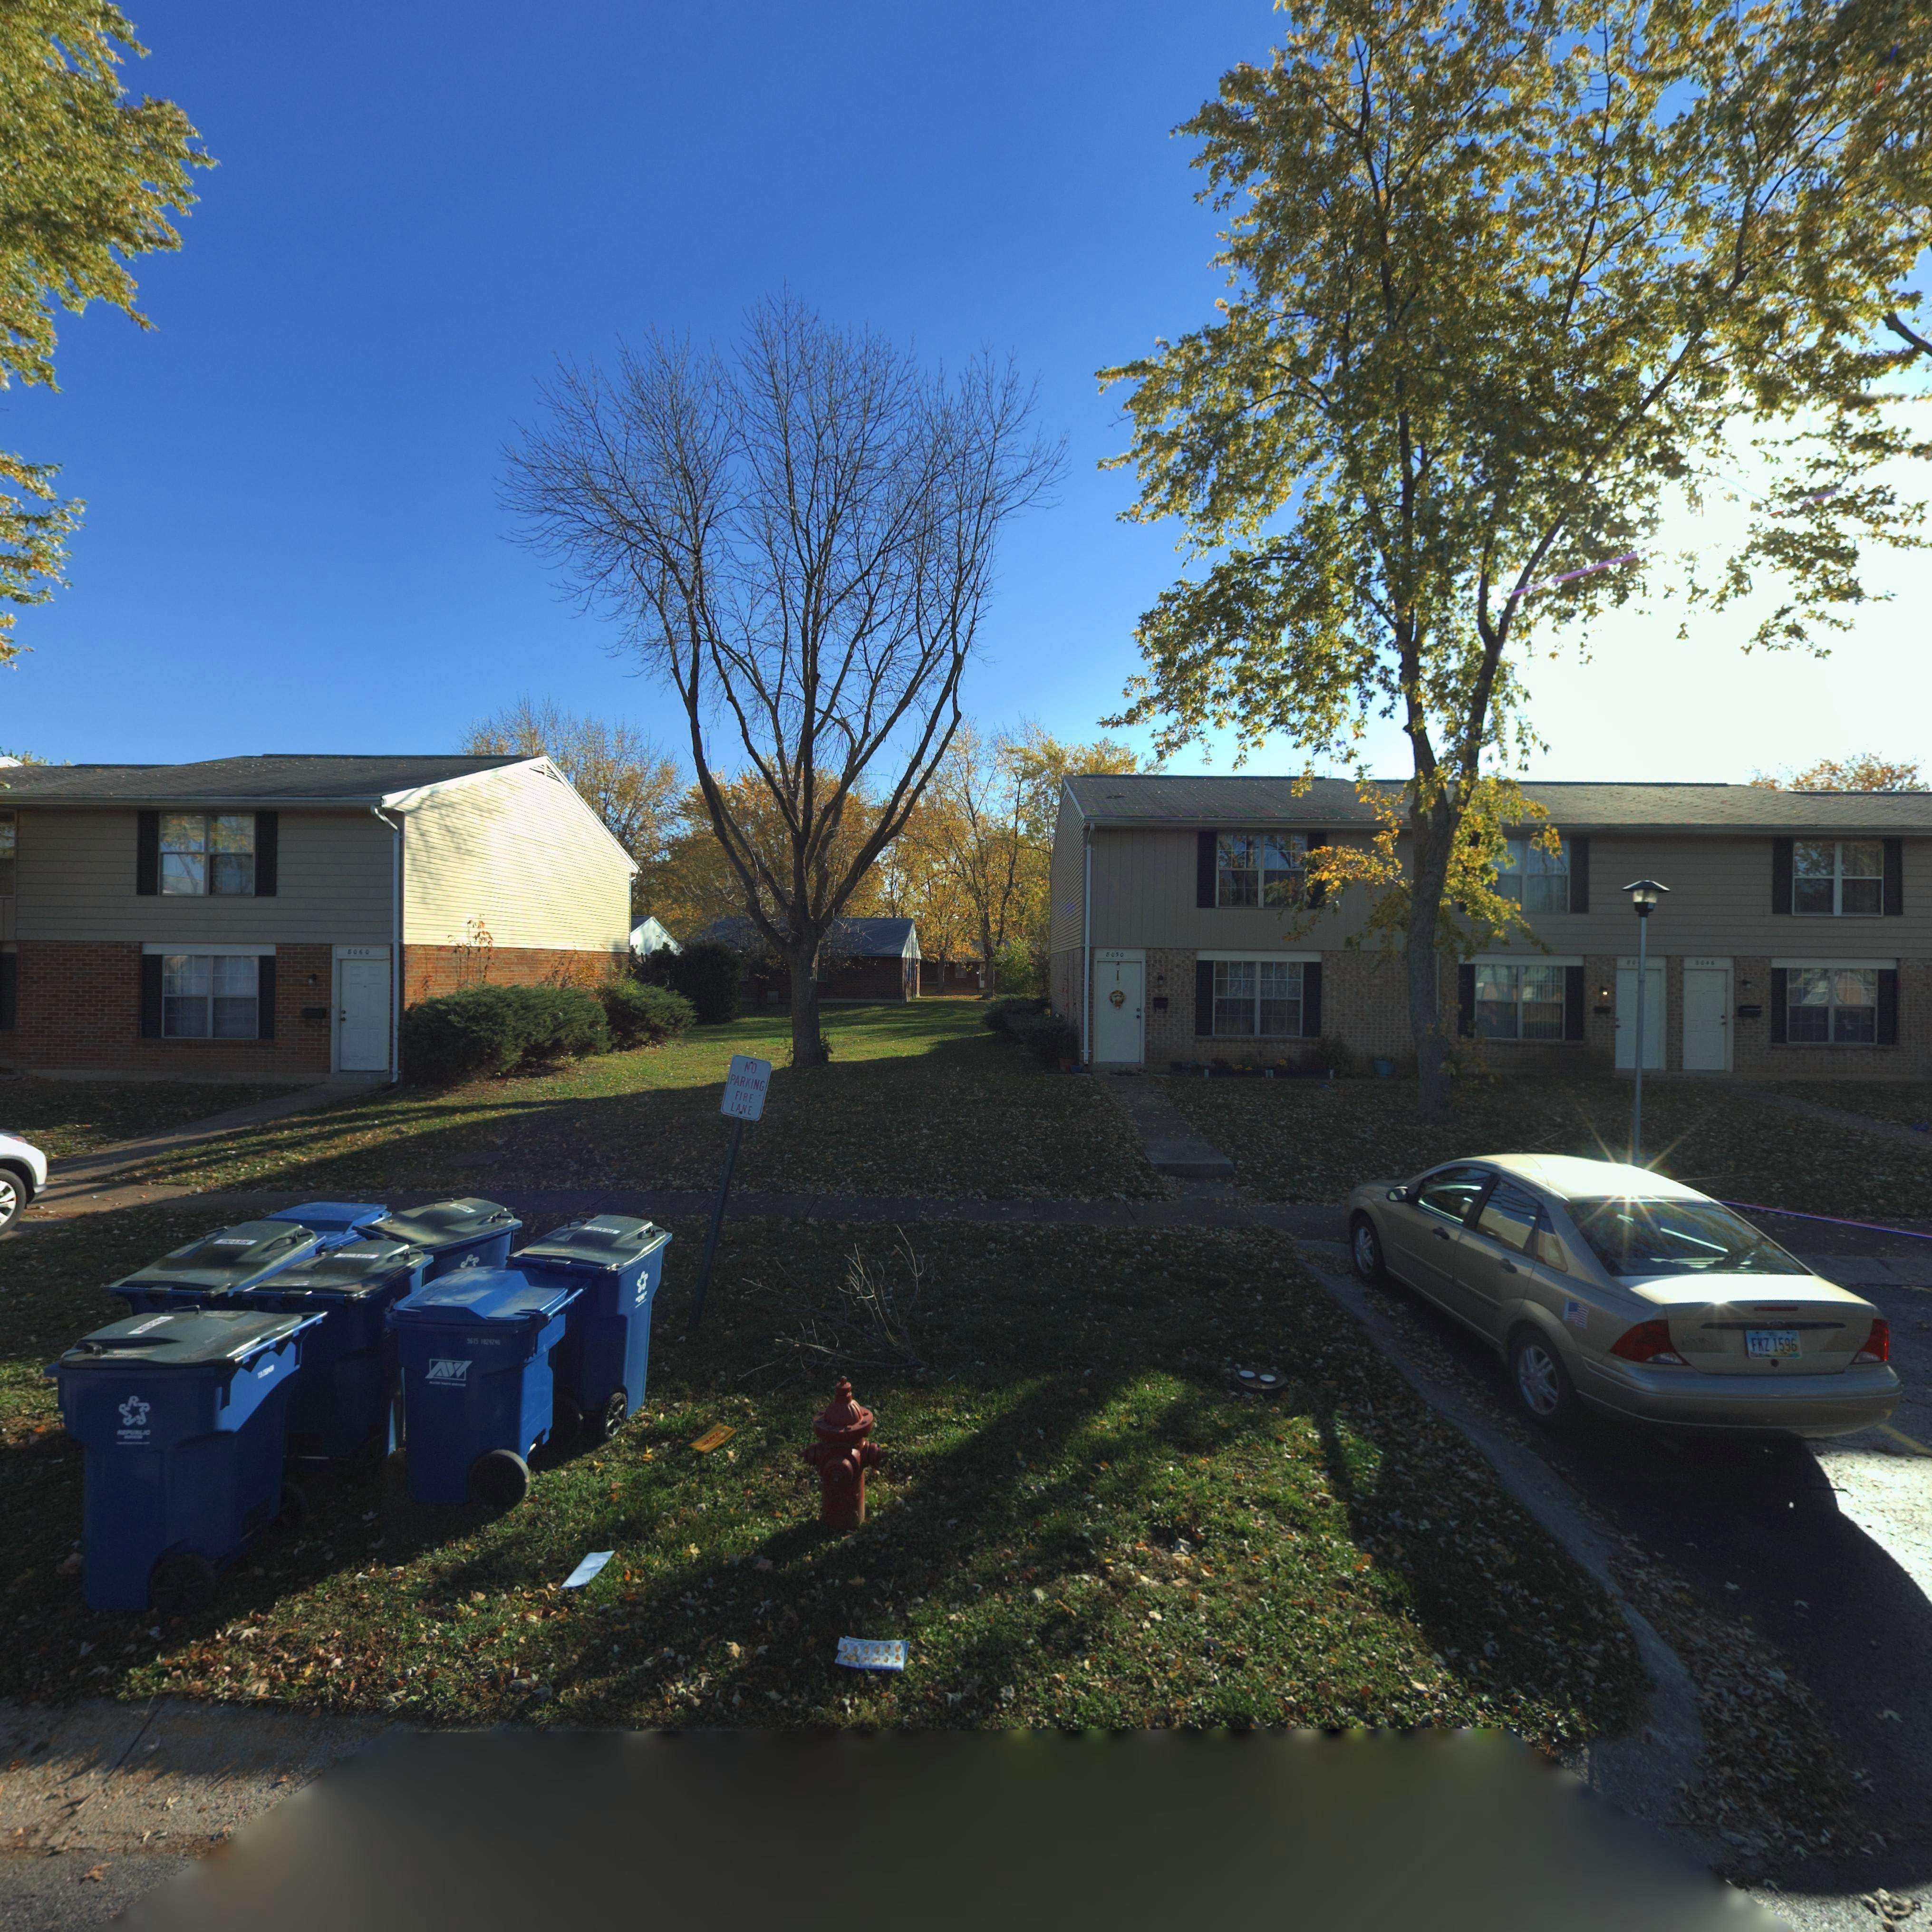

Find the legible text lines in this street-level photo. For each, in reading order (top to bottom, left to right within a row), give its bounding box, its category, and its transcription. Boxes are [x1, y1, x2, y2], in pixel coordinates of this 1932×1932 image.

[347, 948, 370, 955] StreetNumber: 8060
[1105, 951, 1124, 957] StreetNumber: 8050
[1625, 959, 1637, 965] StreetNumber: 80
[1694, 959, 1715, 966] StreetNumber: 8046